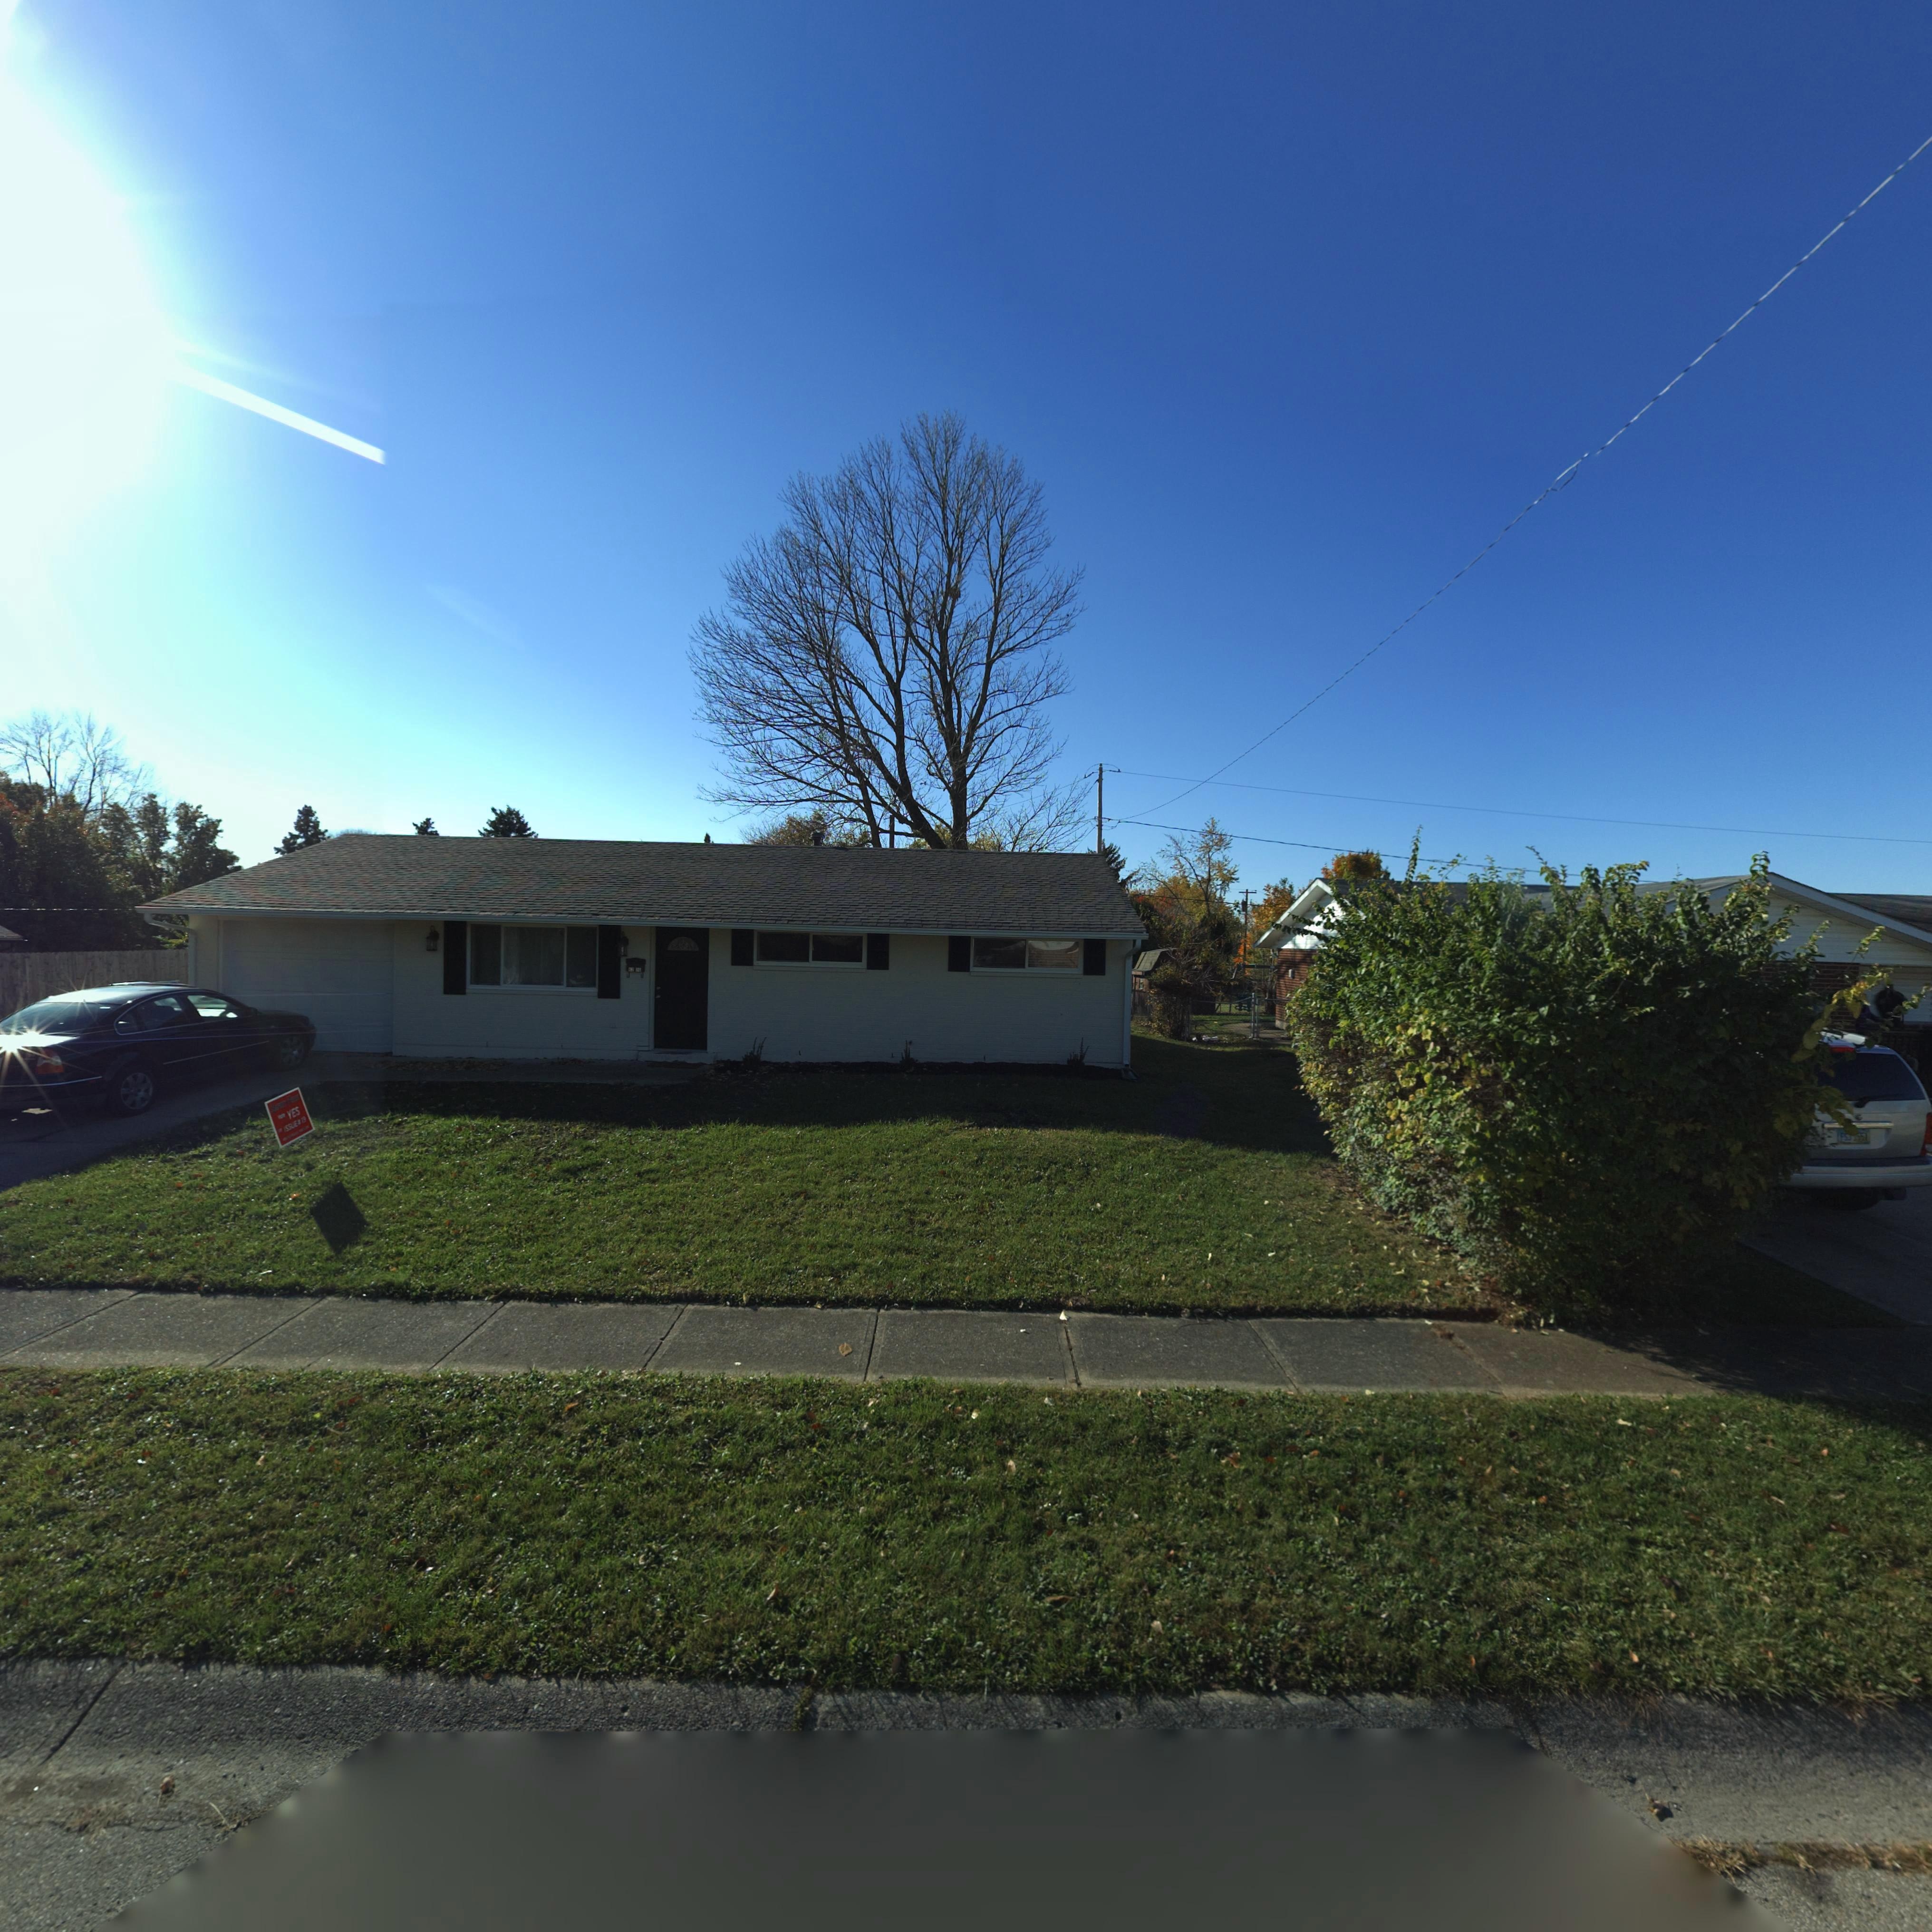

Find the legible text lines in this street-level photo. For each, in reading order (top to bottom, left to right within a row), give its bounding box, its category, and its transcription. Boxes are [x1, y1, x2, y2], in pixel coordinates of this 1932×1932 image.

[628, 967, 641, 972] StreetNumber: 623*